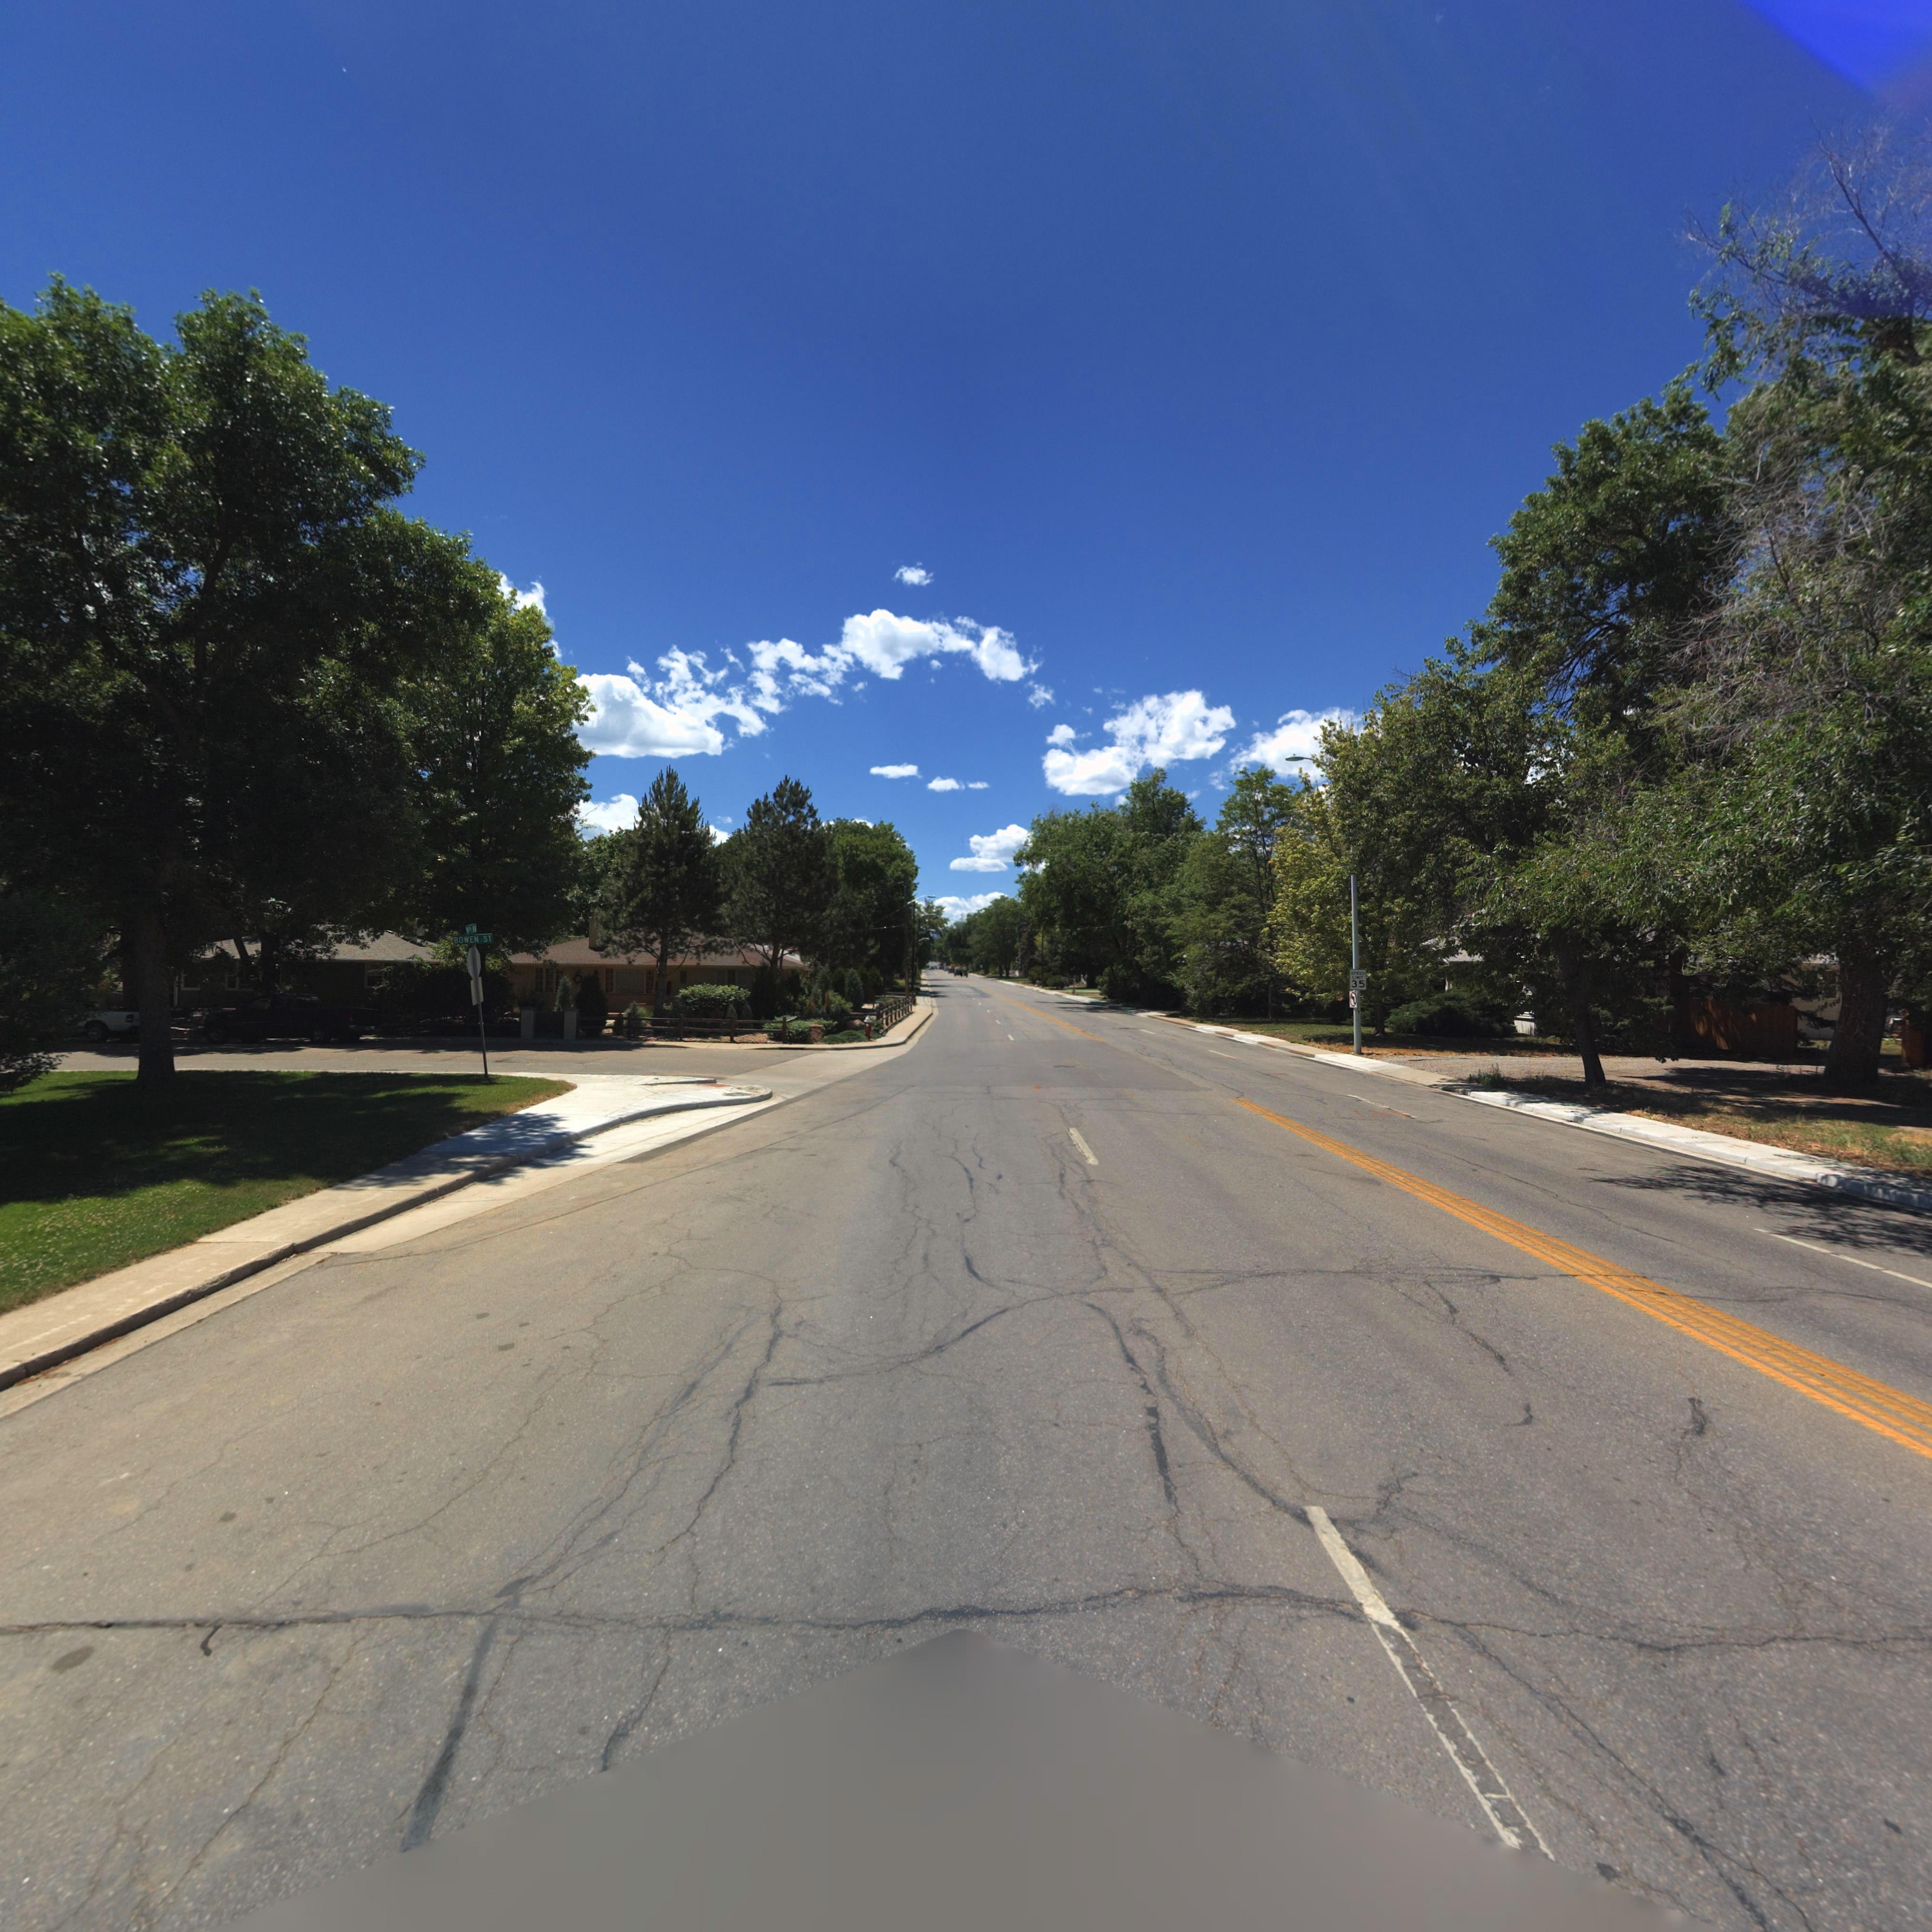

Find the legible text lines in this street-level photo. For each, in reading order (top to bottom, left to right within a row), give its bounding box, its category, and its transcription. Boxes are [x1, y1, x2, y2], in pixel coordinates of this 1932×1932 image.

[466, 924, 476, 934] StreetName: 9** A*
[454, 935, 492, 944] StreetName: BOWEN ST